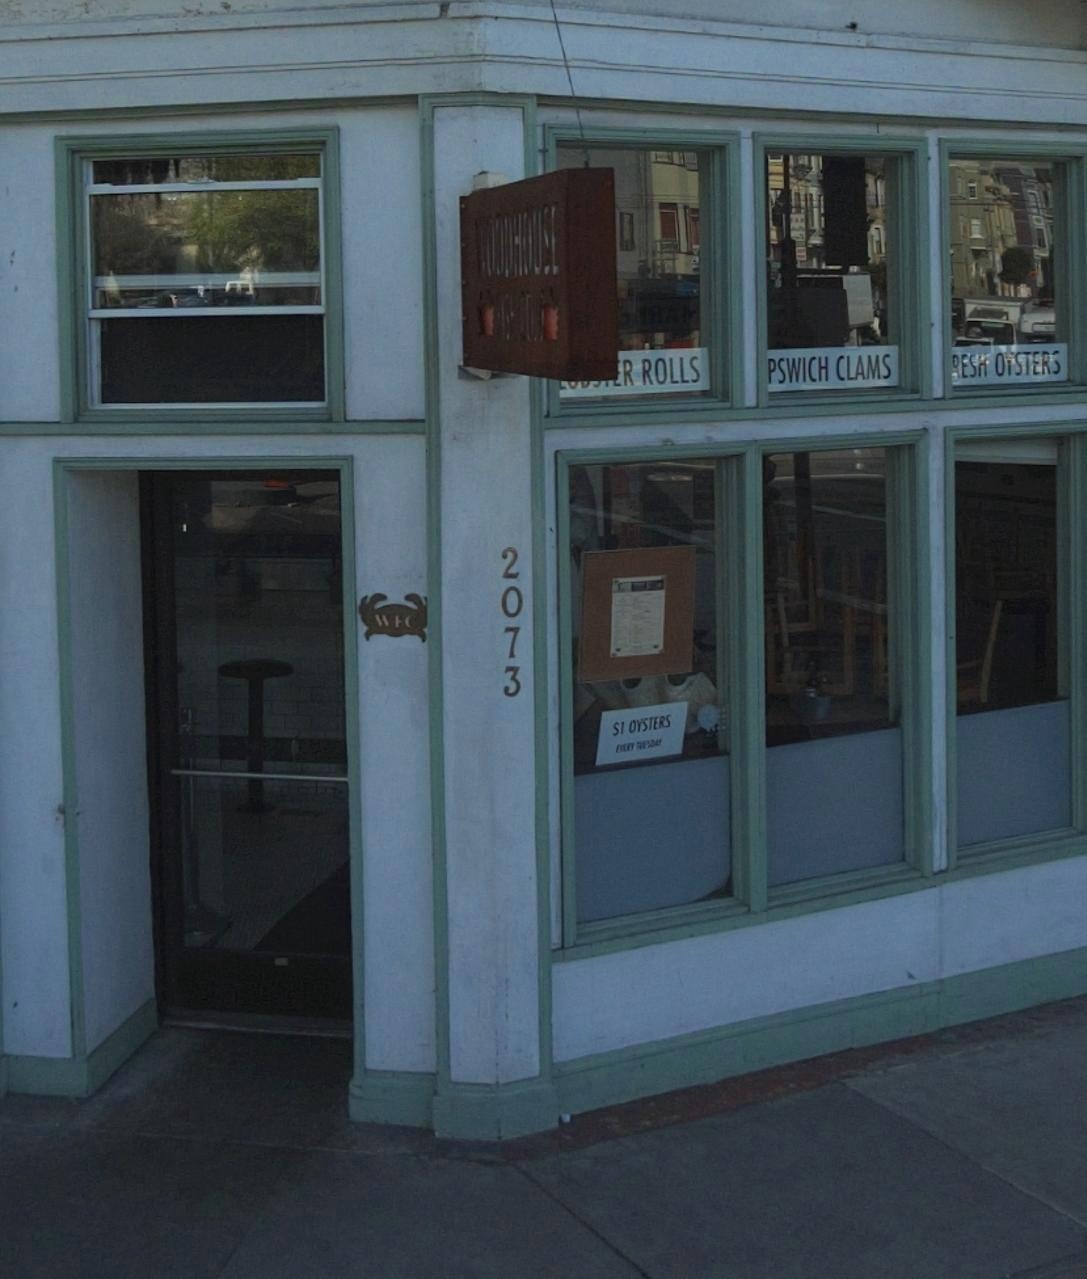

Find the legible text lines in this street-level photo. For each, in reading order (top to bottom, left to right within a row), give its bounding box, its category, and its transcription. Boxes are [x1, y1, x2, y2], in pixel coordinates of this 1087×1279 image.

[620, 353, 704, 389] None: R ROLLS
[765, 350, 895, 388] None: PSWICH CLAMS
[958, 347, 1065, 382] None: ESH OYSTERS
[371, 610, 419, 630] None: WFC
[499, 543, 525, 700] StreetNumber: 2073
[618, 711, 674, 737] None: 1 OYSTERS